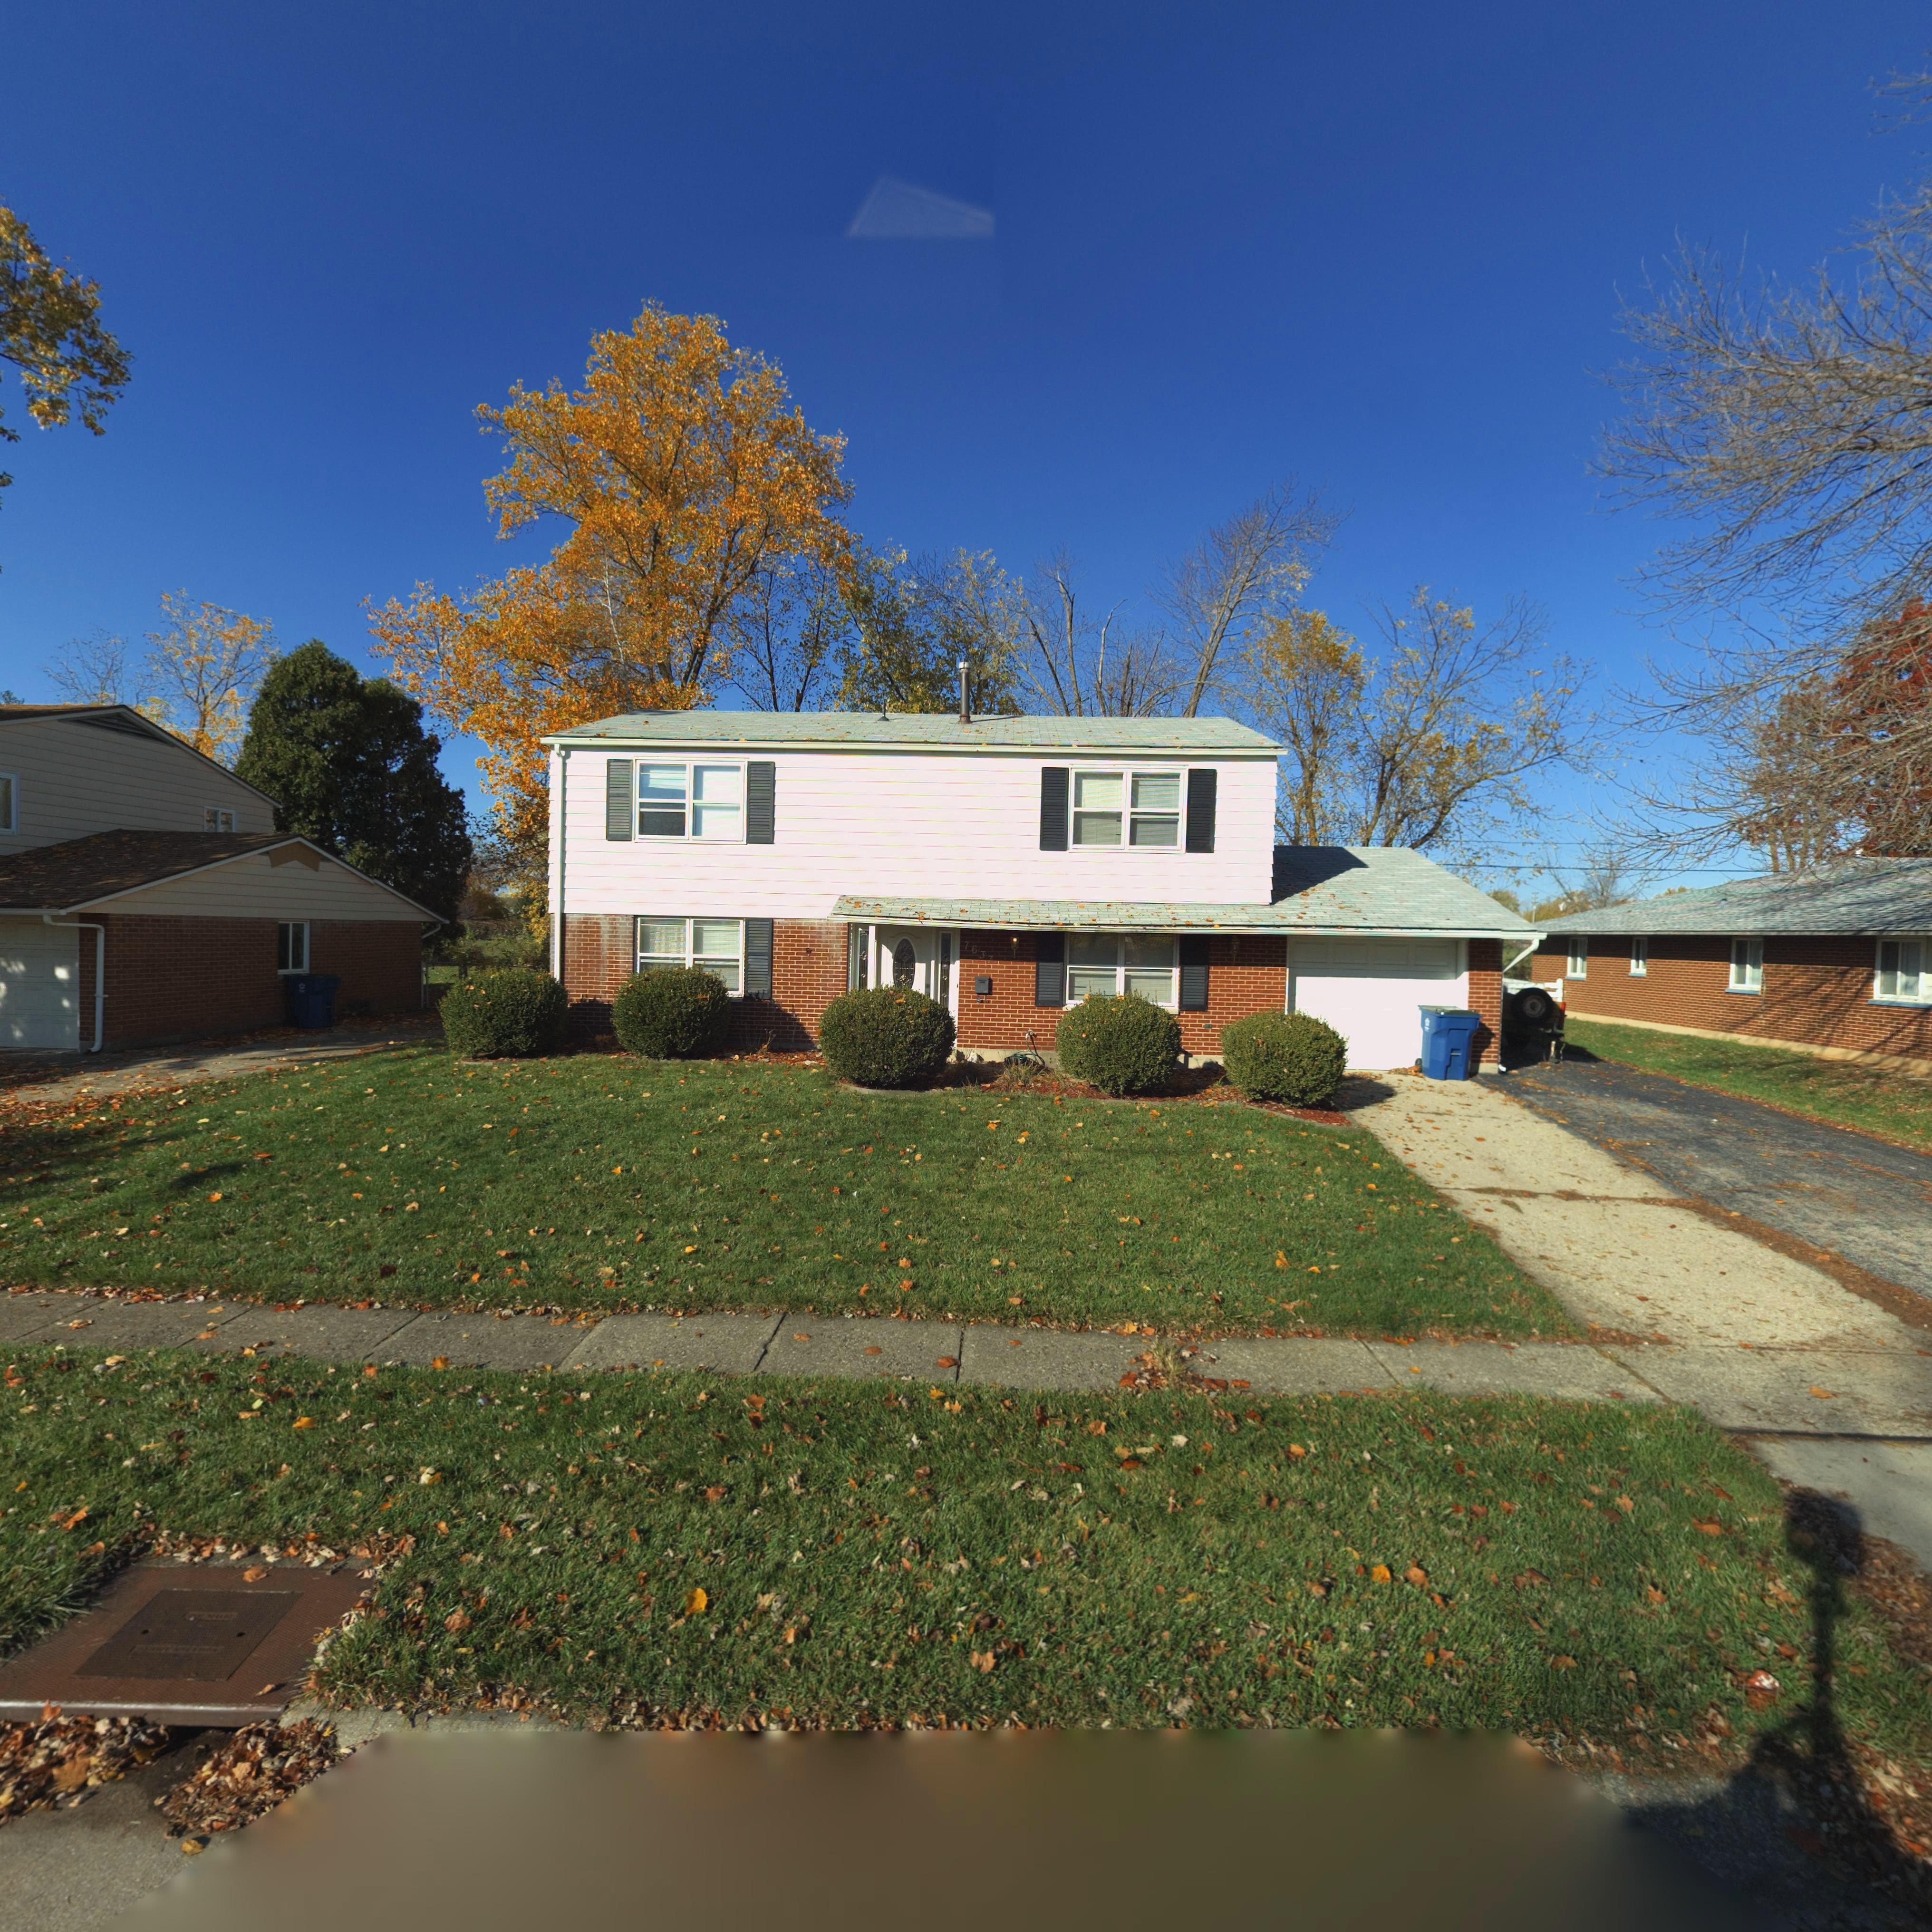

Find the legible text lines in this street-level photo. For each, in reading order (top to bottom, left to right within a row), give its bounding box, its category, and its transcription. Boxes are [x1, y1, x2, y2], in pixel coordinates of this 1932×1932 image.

[963, 940, 995, 965] StreetNumber: 7637